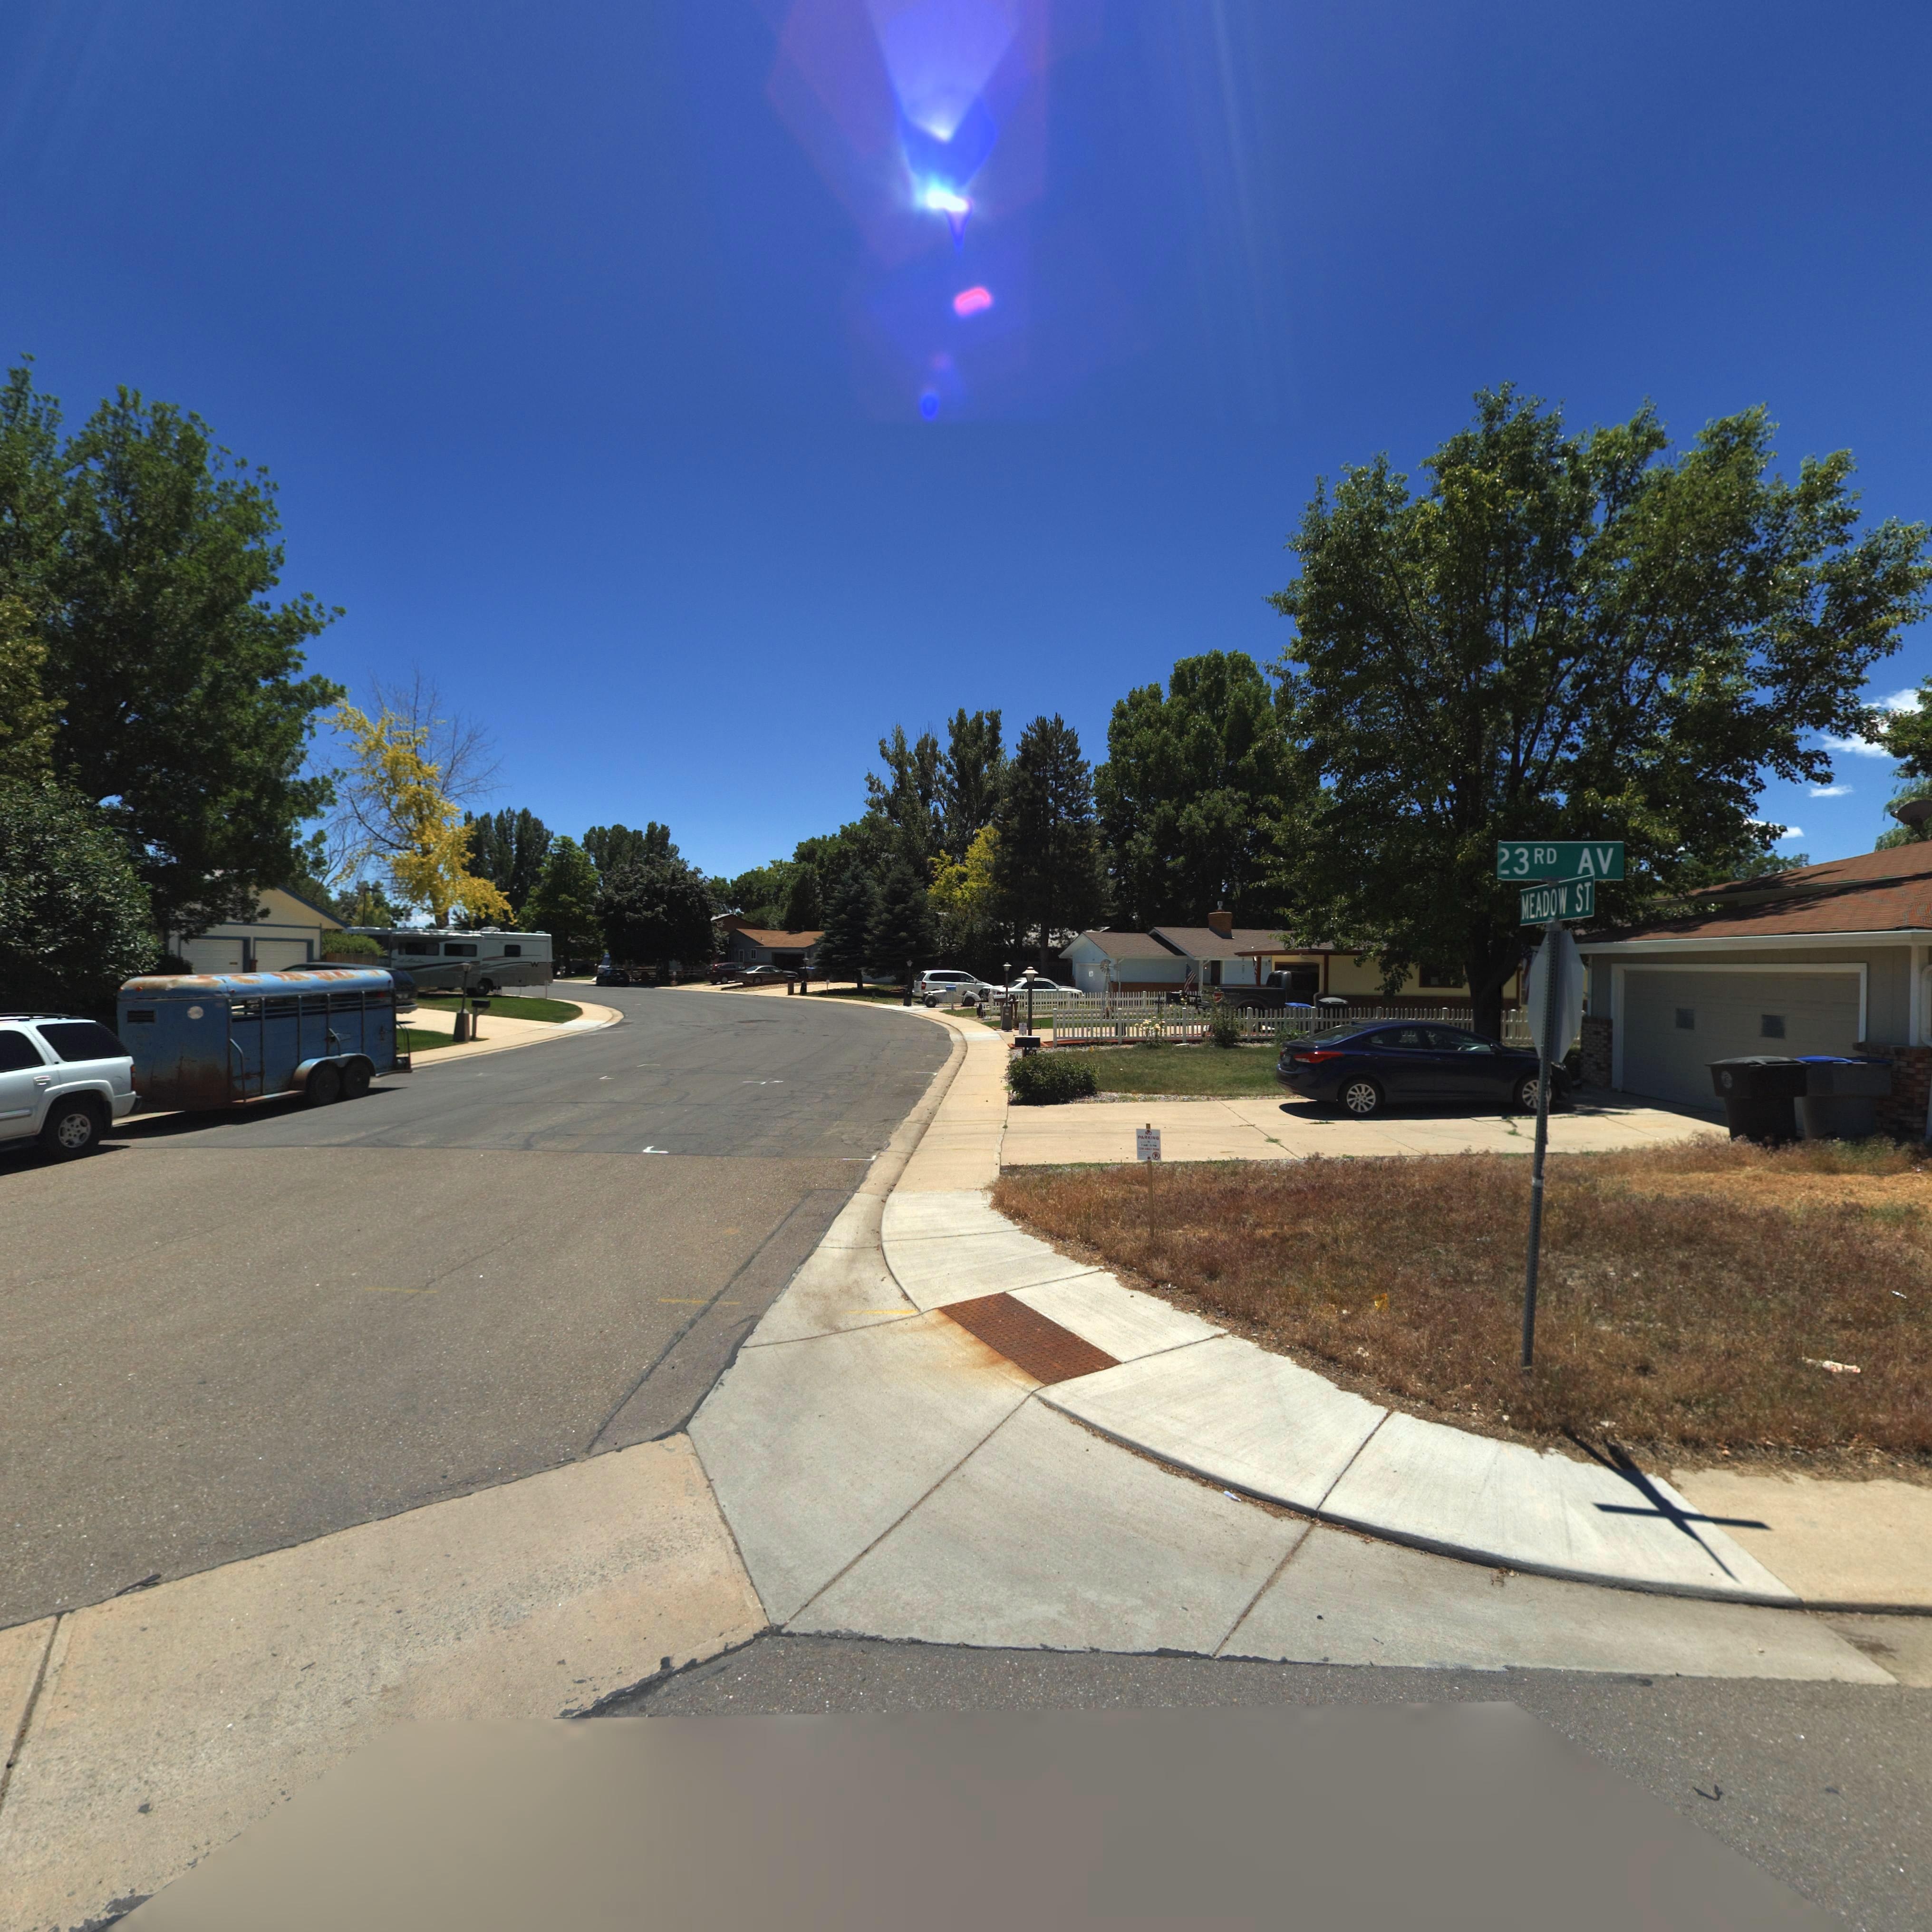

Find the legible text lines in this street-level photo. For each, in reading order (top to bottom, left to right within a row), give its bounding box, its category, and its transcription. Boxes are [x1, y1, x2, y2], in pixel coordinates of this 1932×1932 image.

[1497, 846, 1616, 876] StreetNumber: 23RD AV
[1520, 880, 1591, 920] StreetName: MEADOW ST